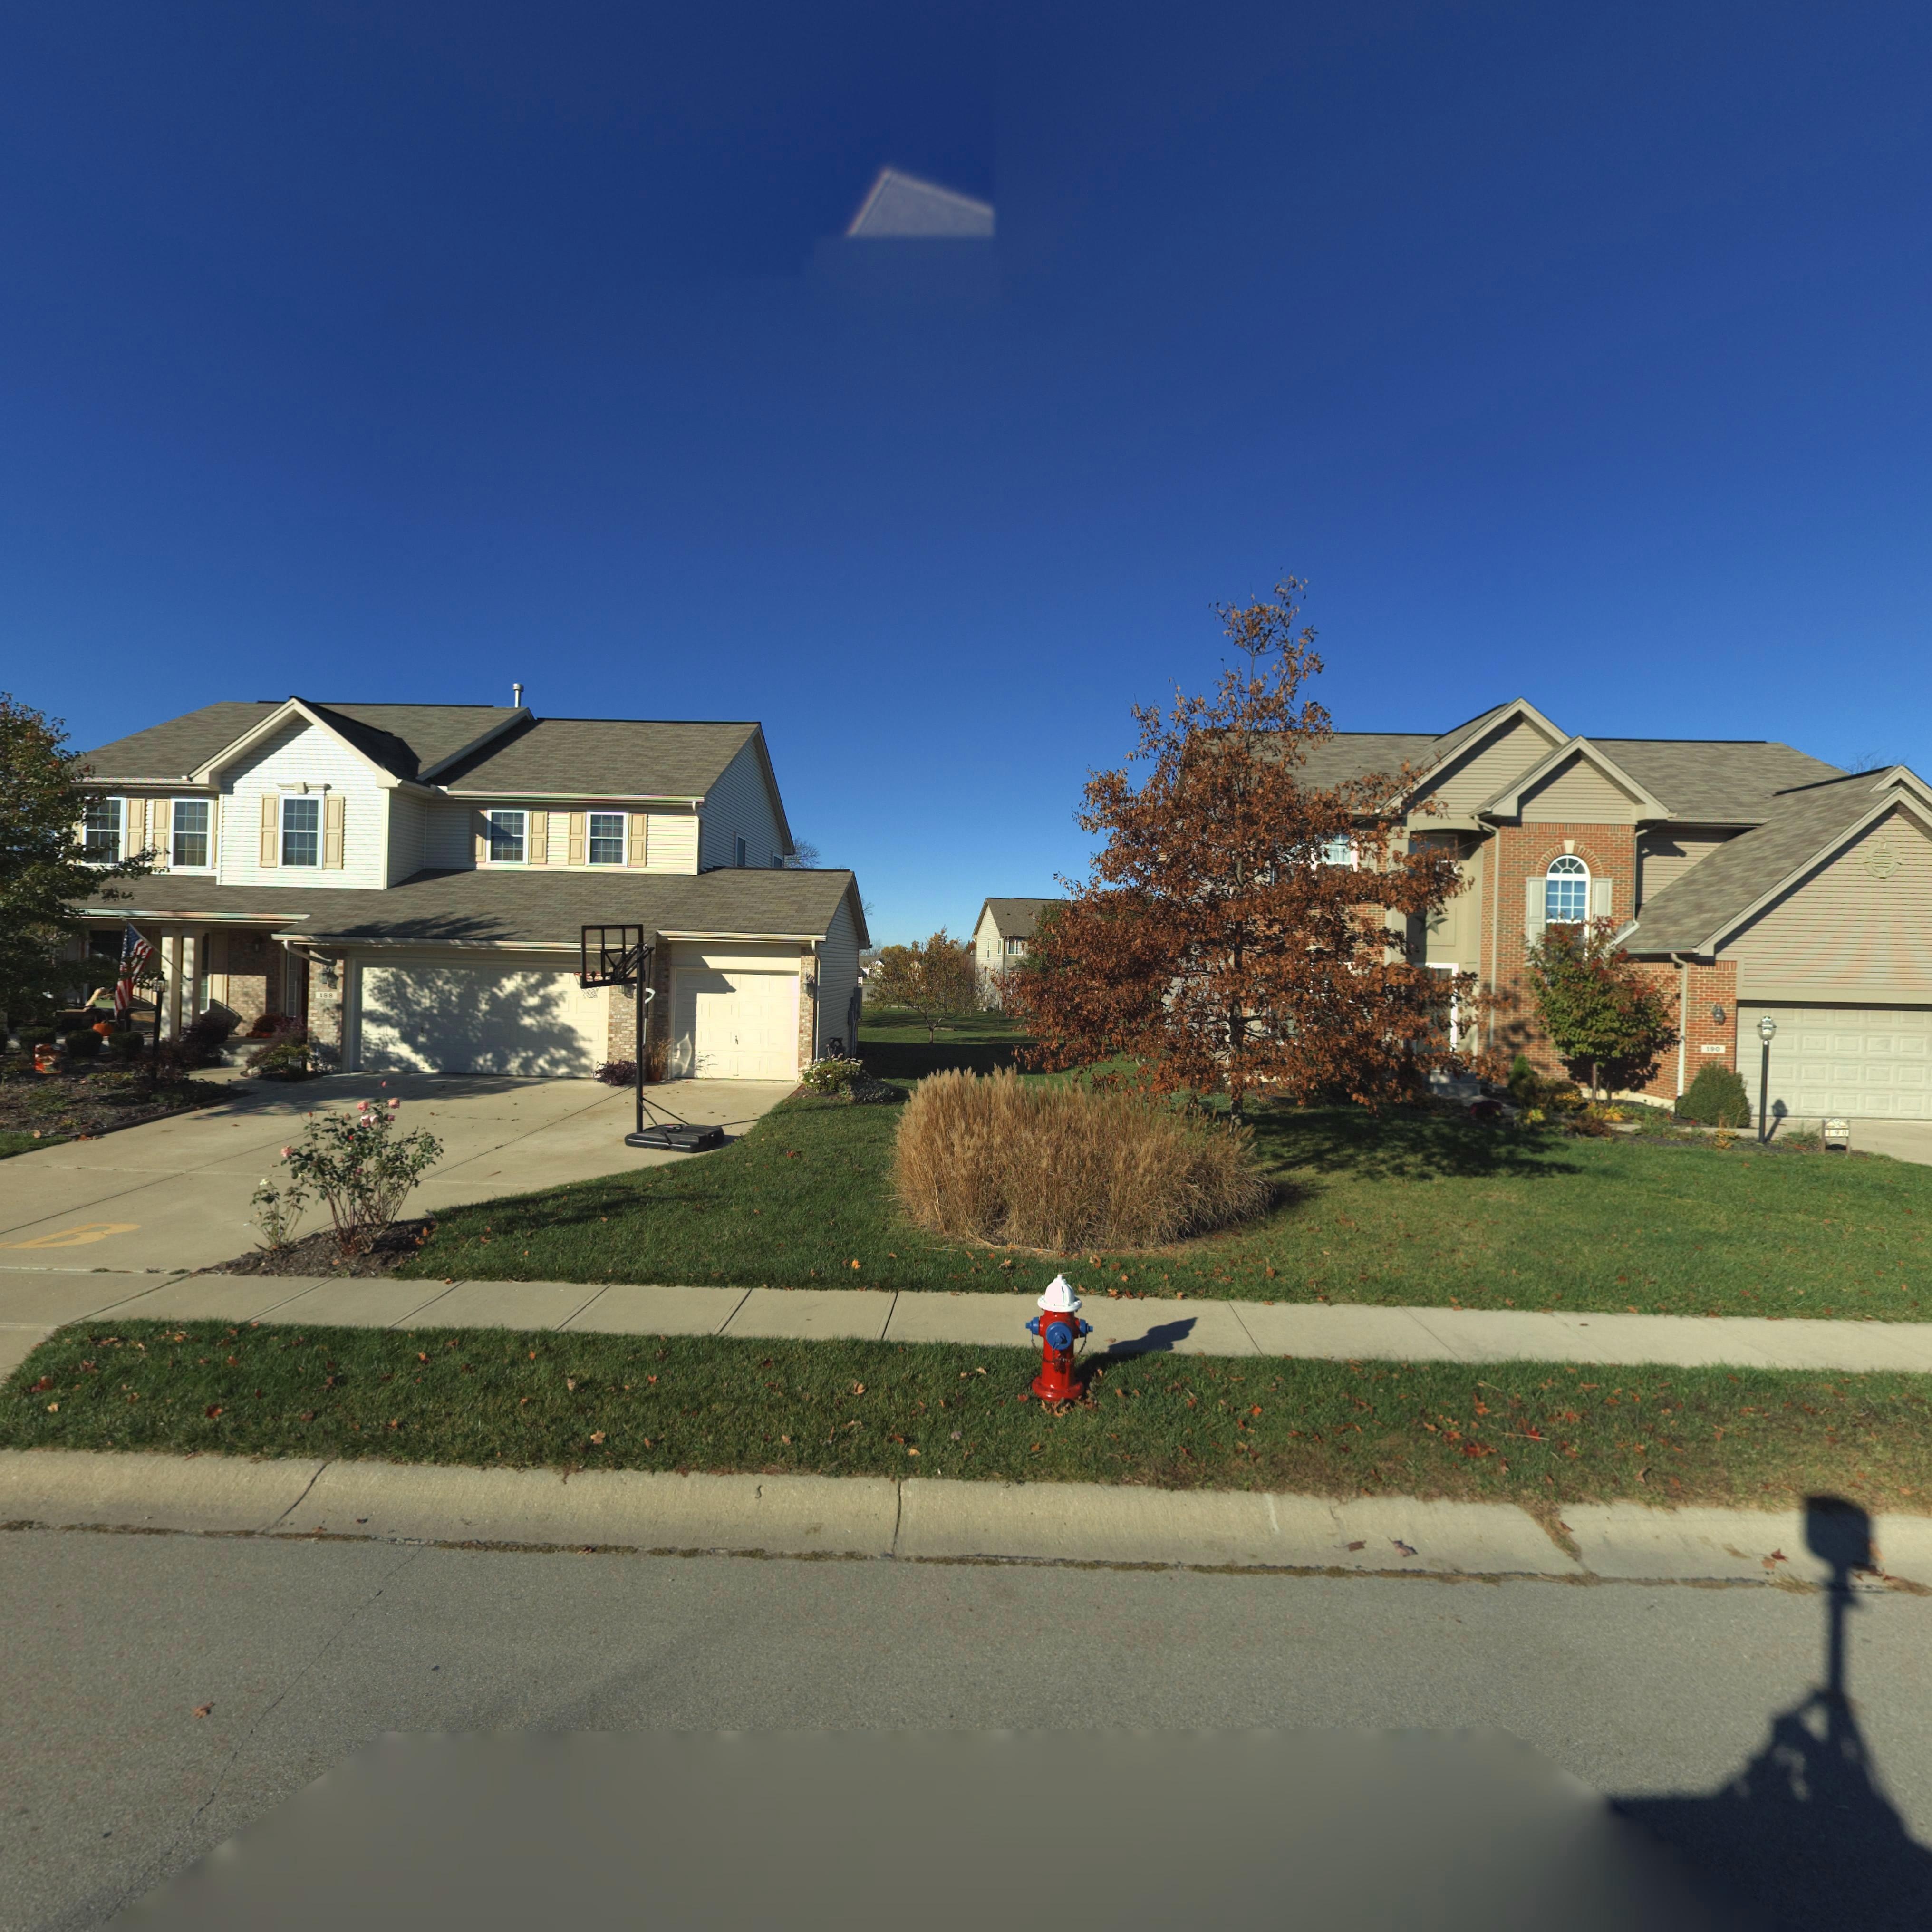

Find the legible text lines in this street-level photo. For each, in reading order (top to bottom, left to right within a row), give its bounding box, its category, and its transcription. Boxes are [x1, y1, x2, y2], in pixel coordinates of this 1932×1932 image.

[319, 992, 333, 999] StreetNumber: 1*8
[1706, 1045, 1721, 1053] StreetNumber: 190
[1827, 1129, 1848, 1137] StreetNumber: 190